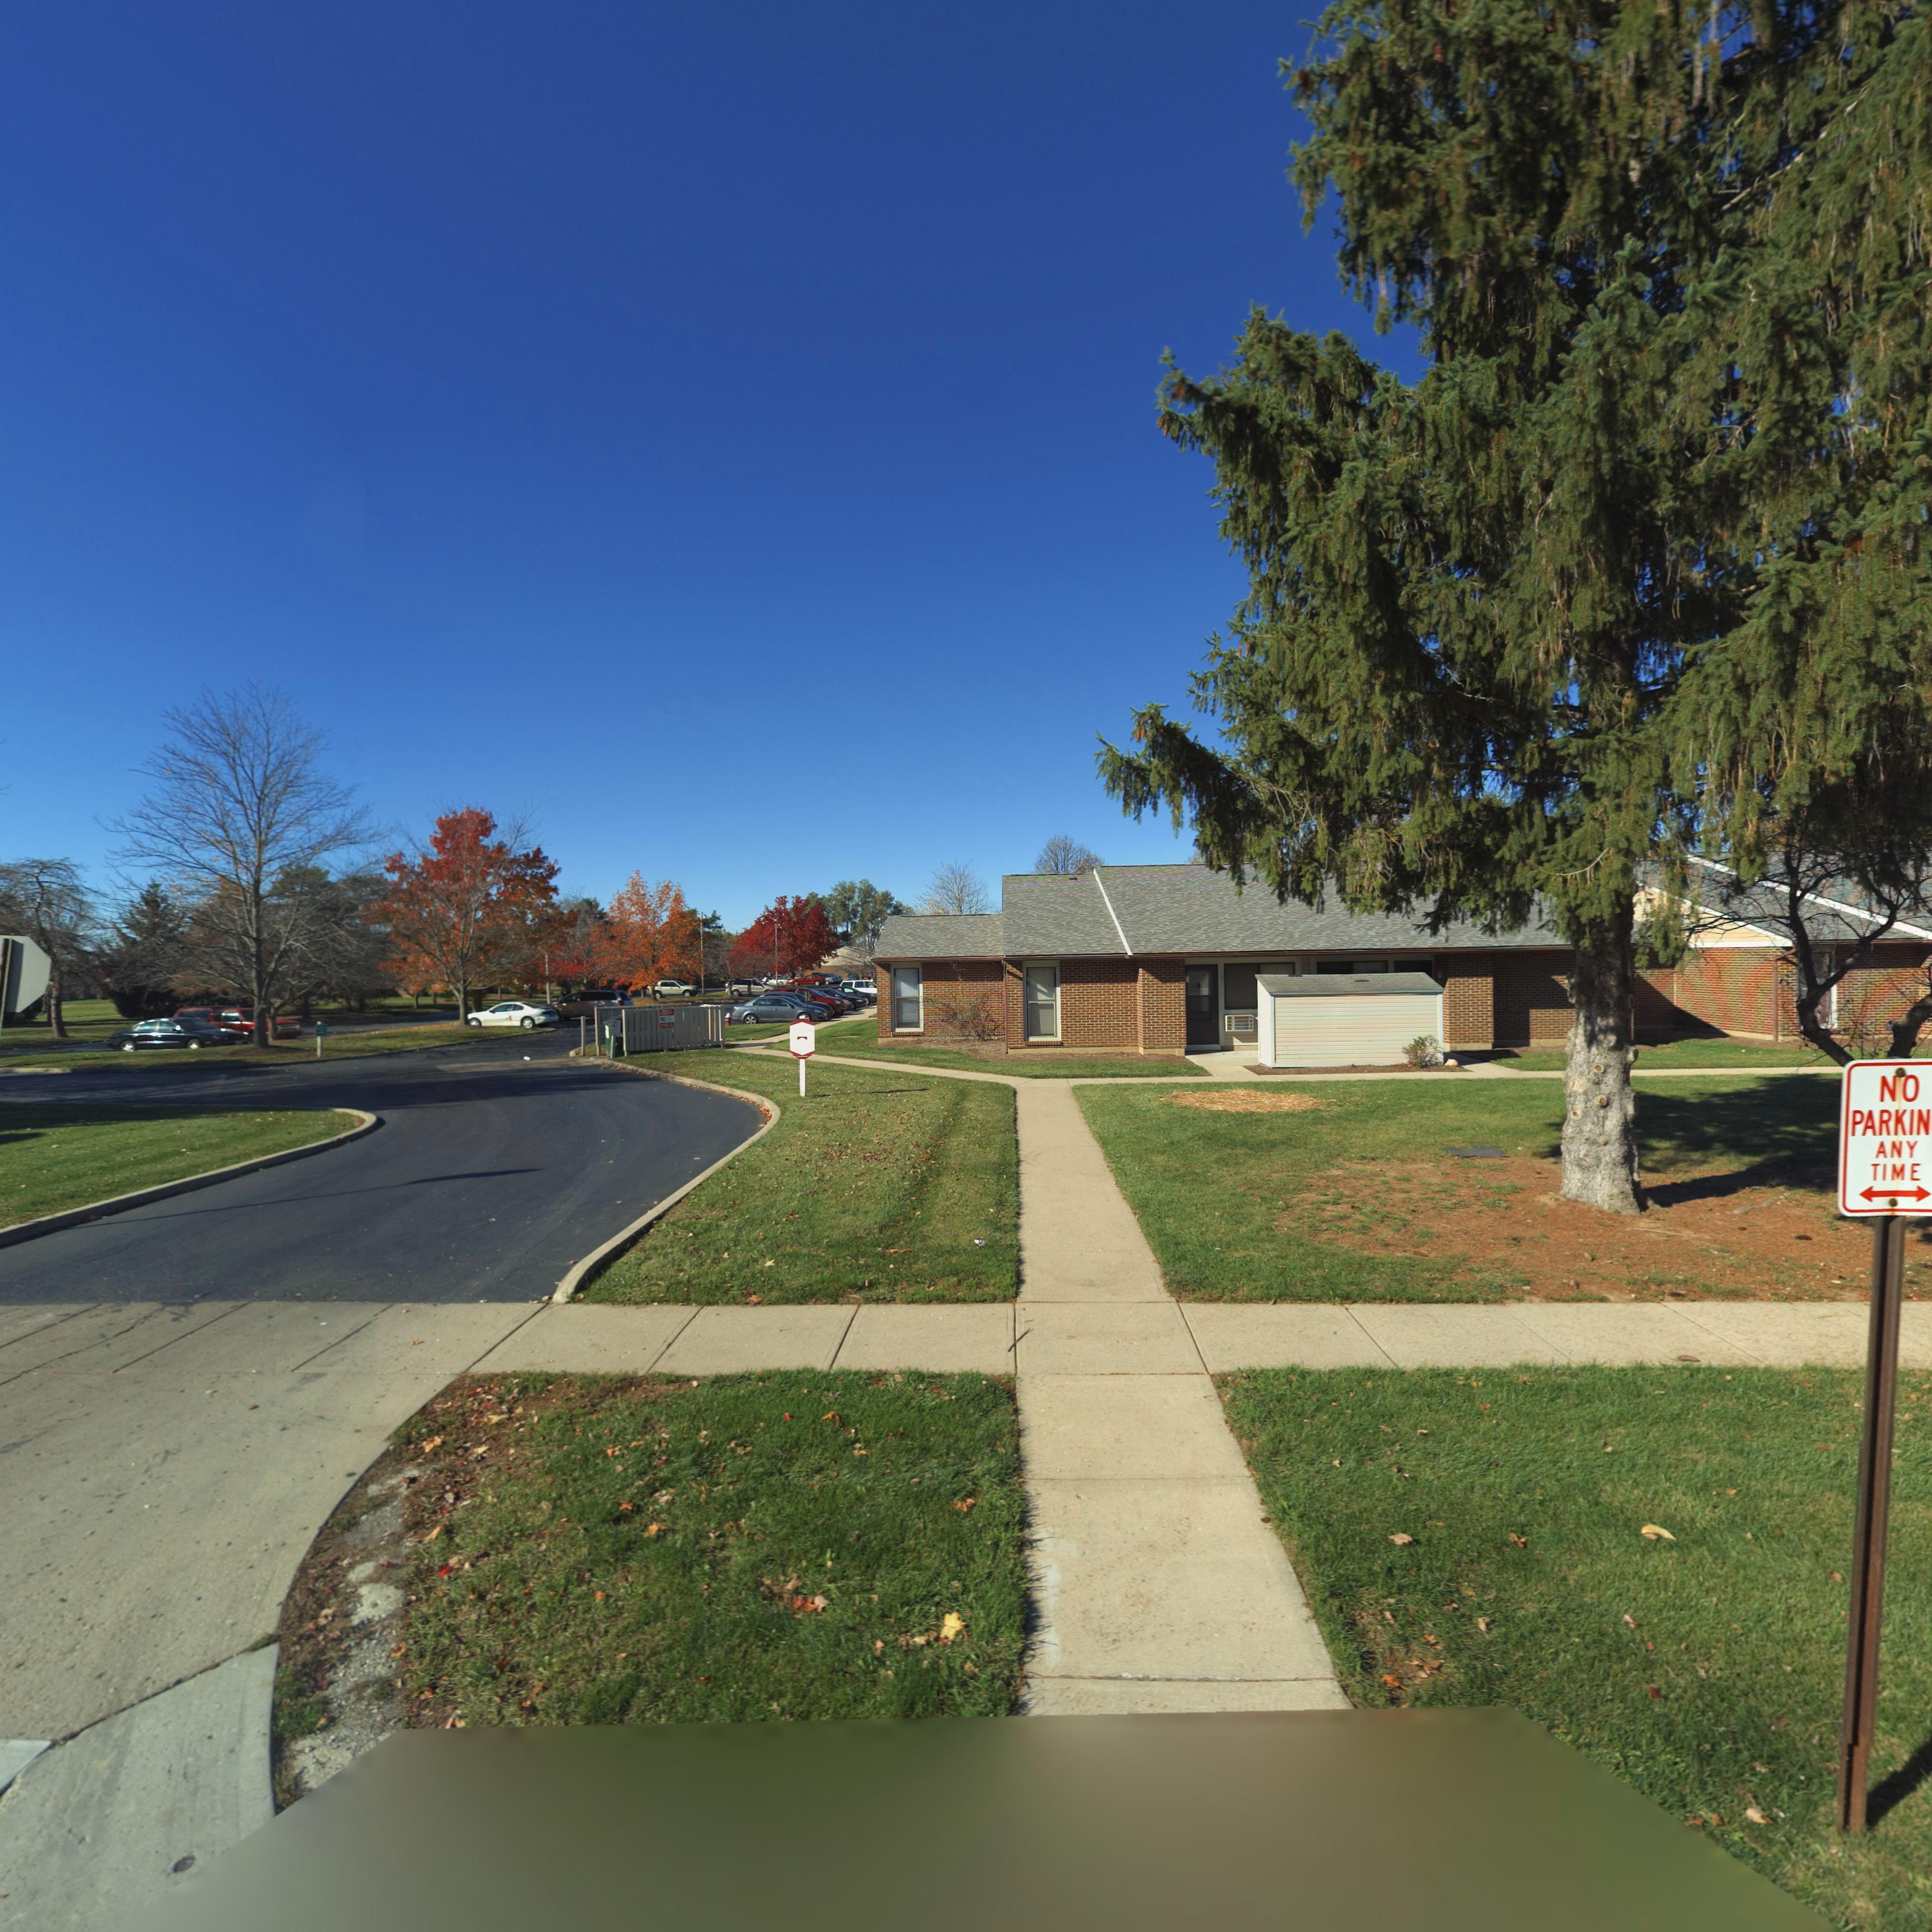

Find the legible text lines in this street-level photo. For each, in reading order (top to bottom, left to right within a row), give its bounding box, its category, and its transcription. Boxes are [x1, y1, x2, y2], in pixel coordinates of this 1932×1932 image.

[1220, 969, 1224, 983] StreetNumber: 101
[1389, 968, 1393, 973] StreetNumber: 1
[1878, 1074, 1922, 1105] None: NO
[1847, 1107, 1930, 1139] None: PARKIN
[1872, 1140, 1919, 1160] None: ANY
[1870, 1162, 1923, 1184] None: TIME